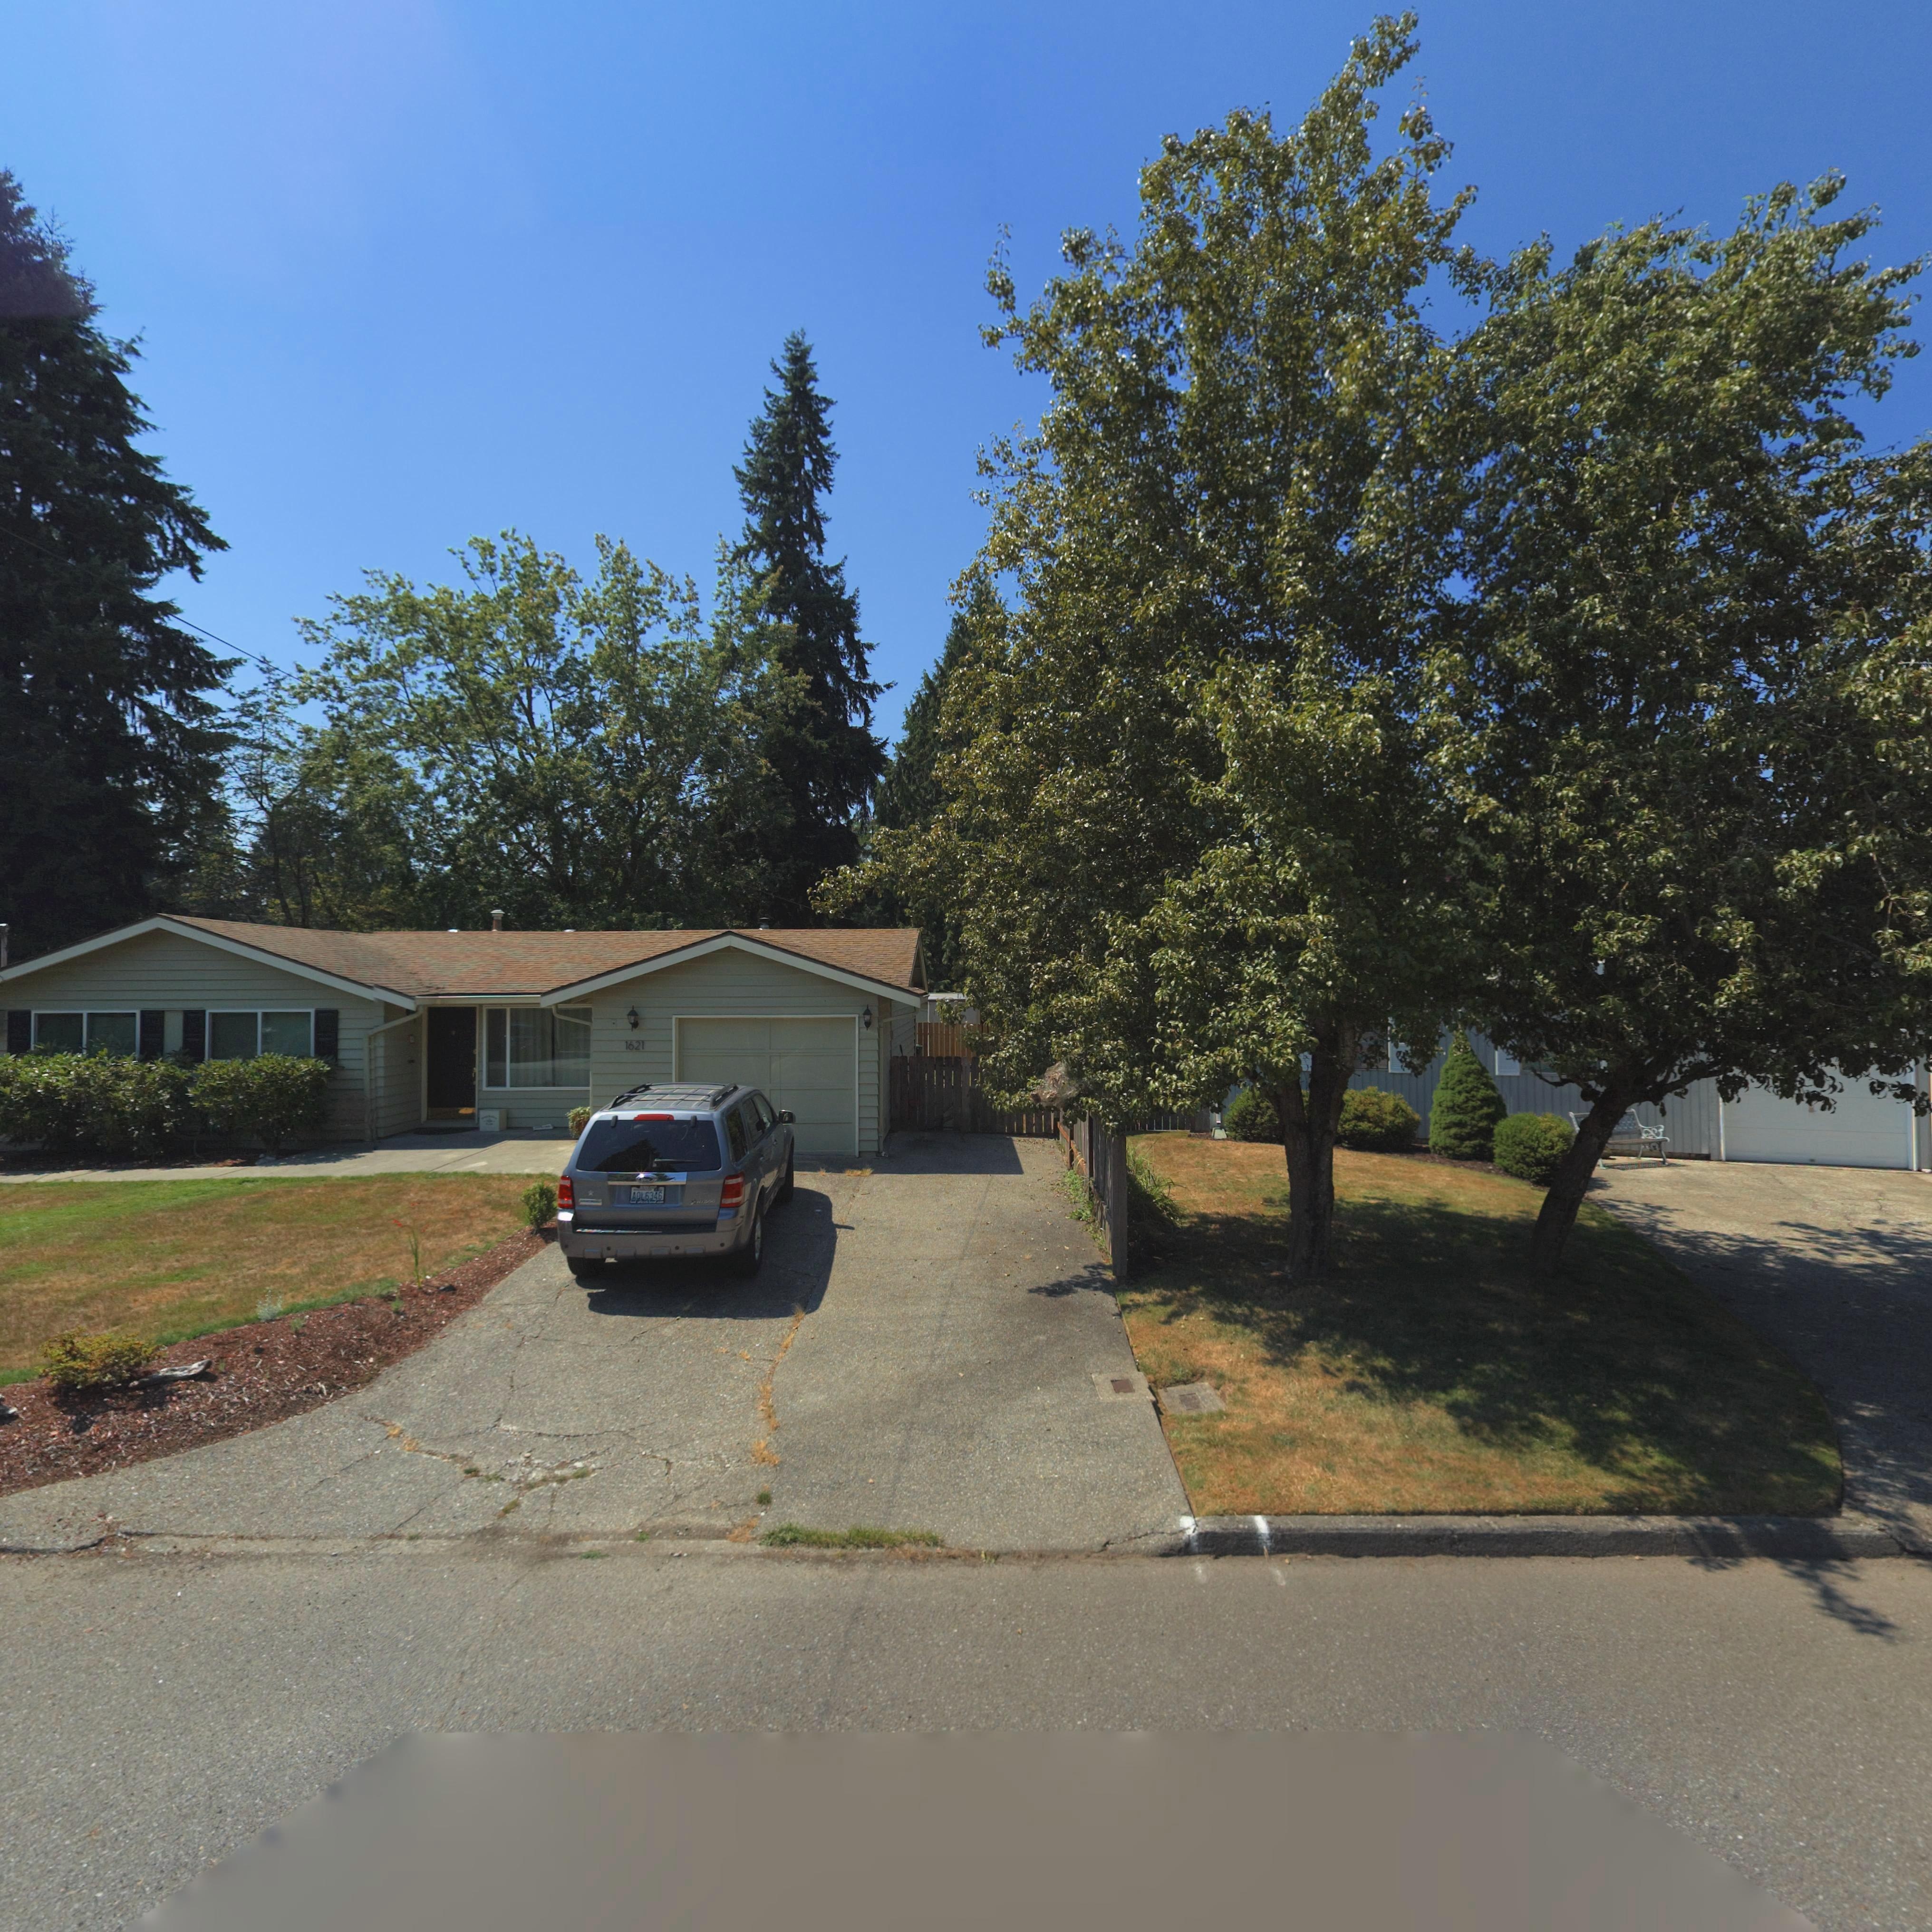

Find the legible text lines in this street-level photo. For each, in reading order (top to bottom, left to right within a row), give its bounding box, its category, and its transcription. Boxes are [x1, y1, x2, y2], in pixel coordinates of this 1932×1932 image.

[624, 1039, 645, 1051] StreetNumber: 1621